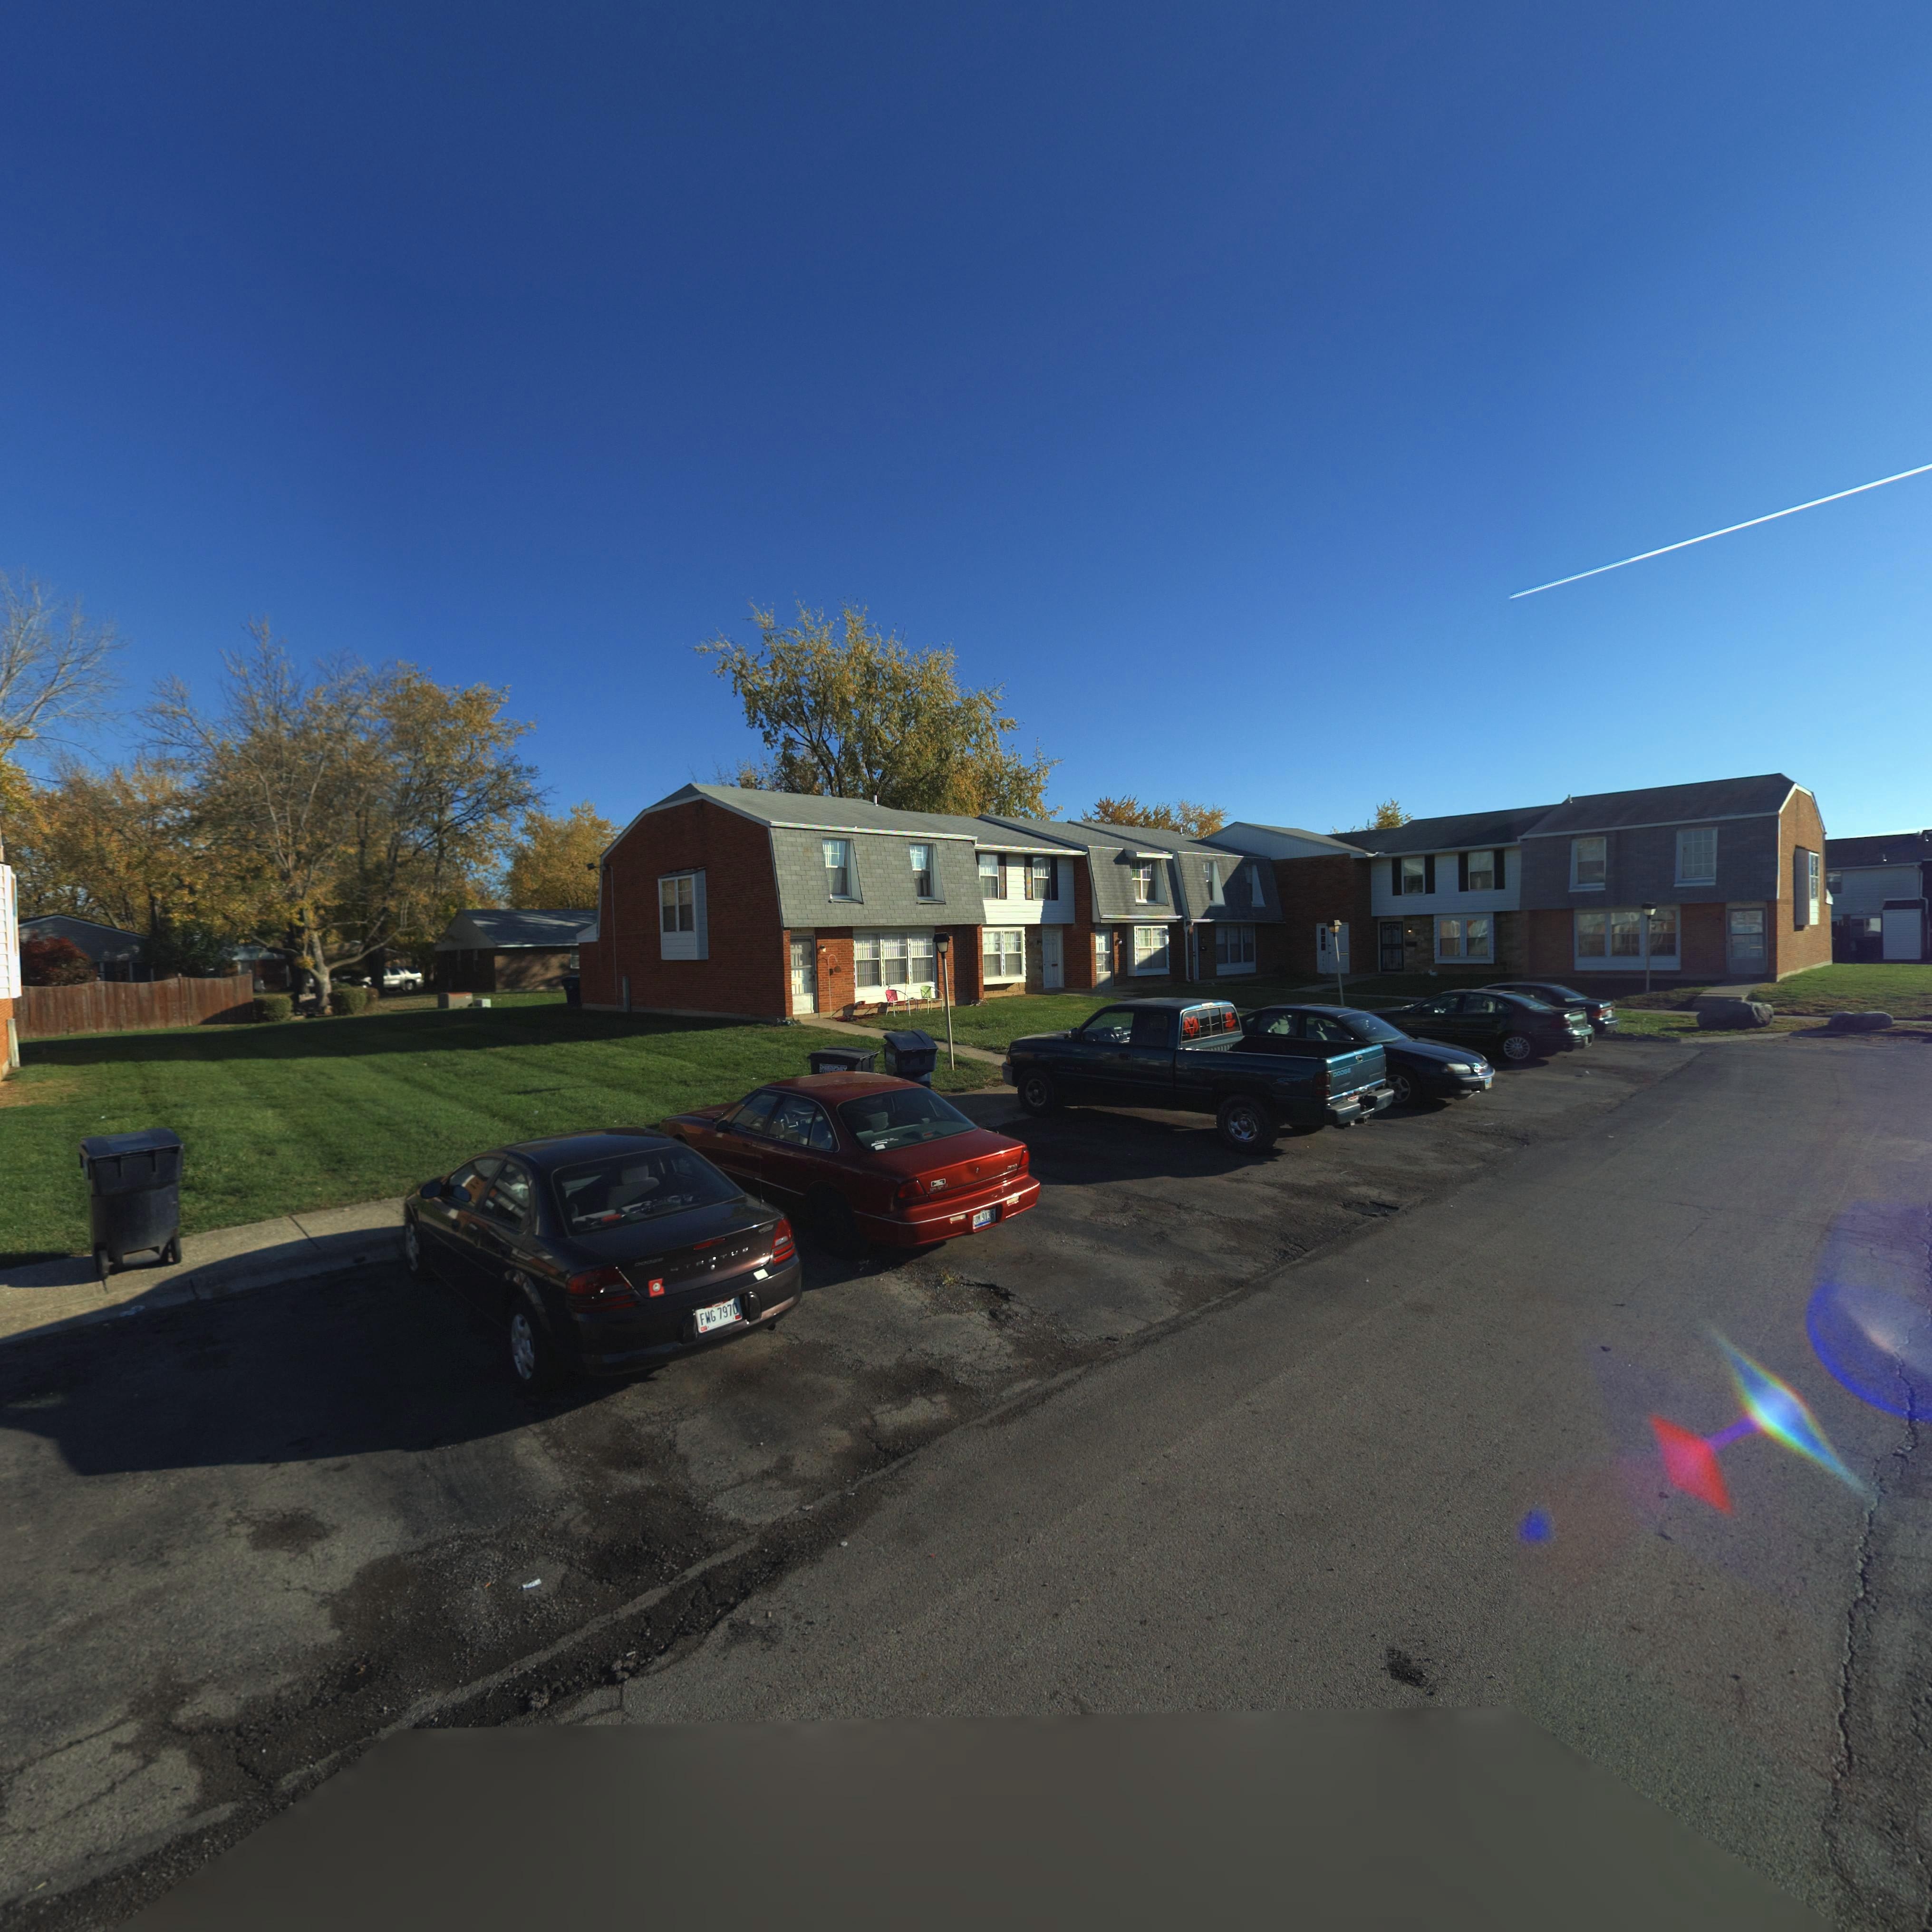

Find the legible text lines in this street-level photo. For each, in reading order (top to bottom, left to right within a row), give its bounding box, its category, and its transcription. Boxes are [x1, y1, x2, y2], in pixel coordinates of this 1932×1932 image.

[1738, 901, 1752, 906] StreetNumber: 7*19
[1099, 923, 1106, 927] StreetNumber: 7*22
[789, 927, 802, 932] StreetNumber: 7626